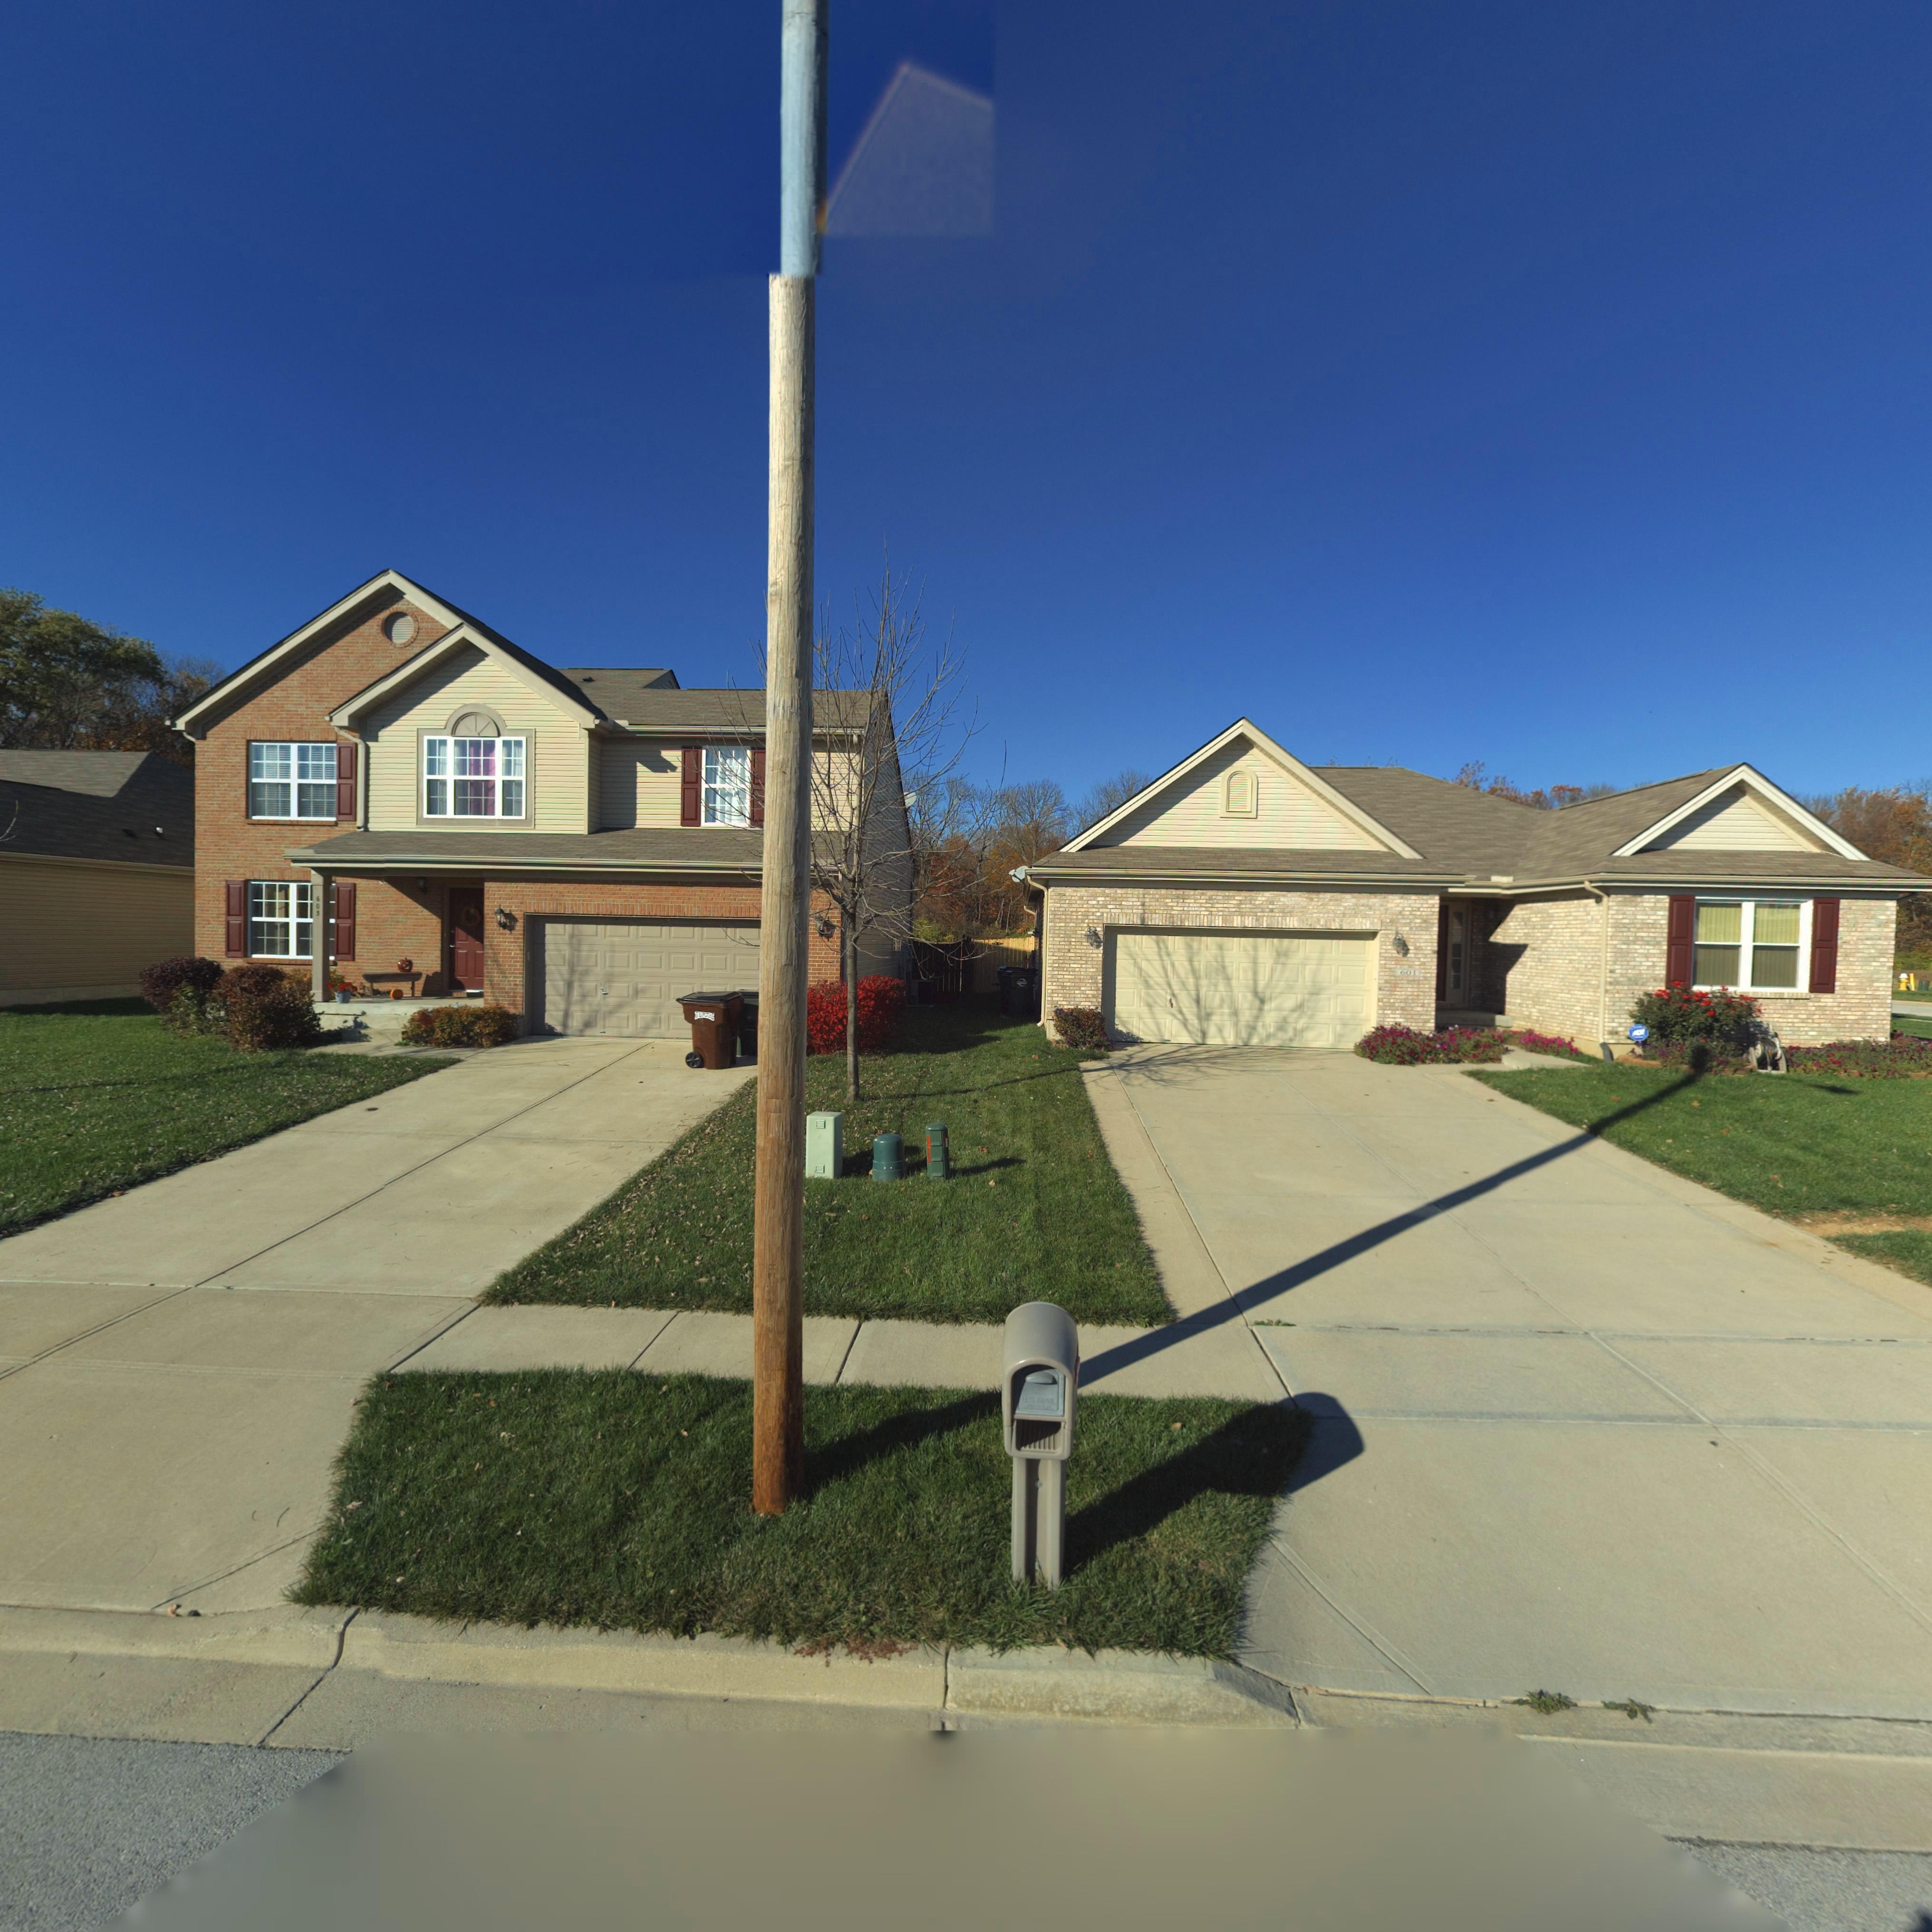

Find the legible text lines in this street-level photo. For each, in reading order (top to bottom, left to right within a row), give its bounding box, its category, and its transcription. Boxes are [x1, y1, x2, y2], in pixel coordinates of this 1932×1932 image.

[315, 895, 320, 916] StreetNumber: 603
[1399, 969, 1417, 976] StreetNumber: 601